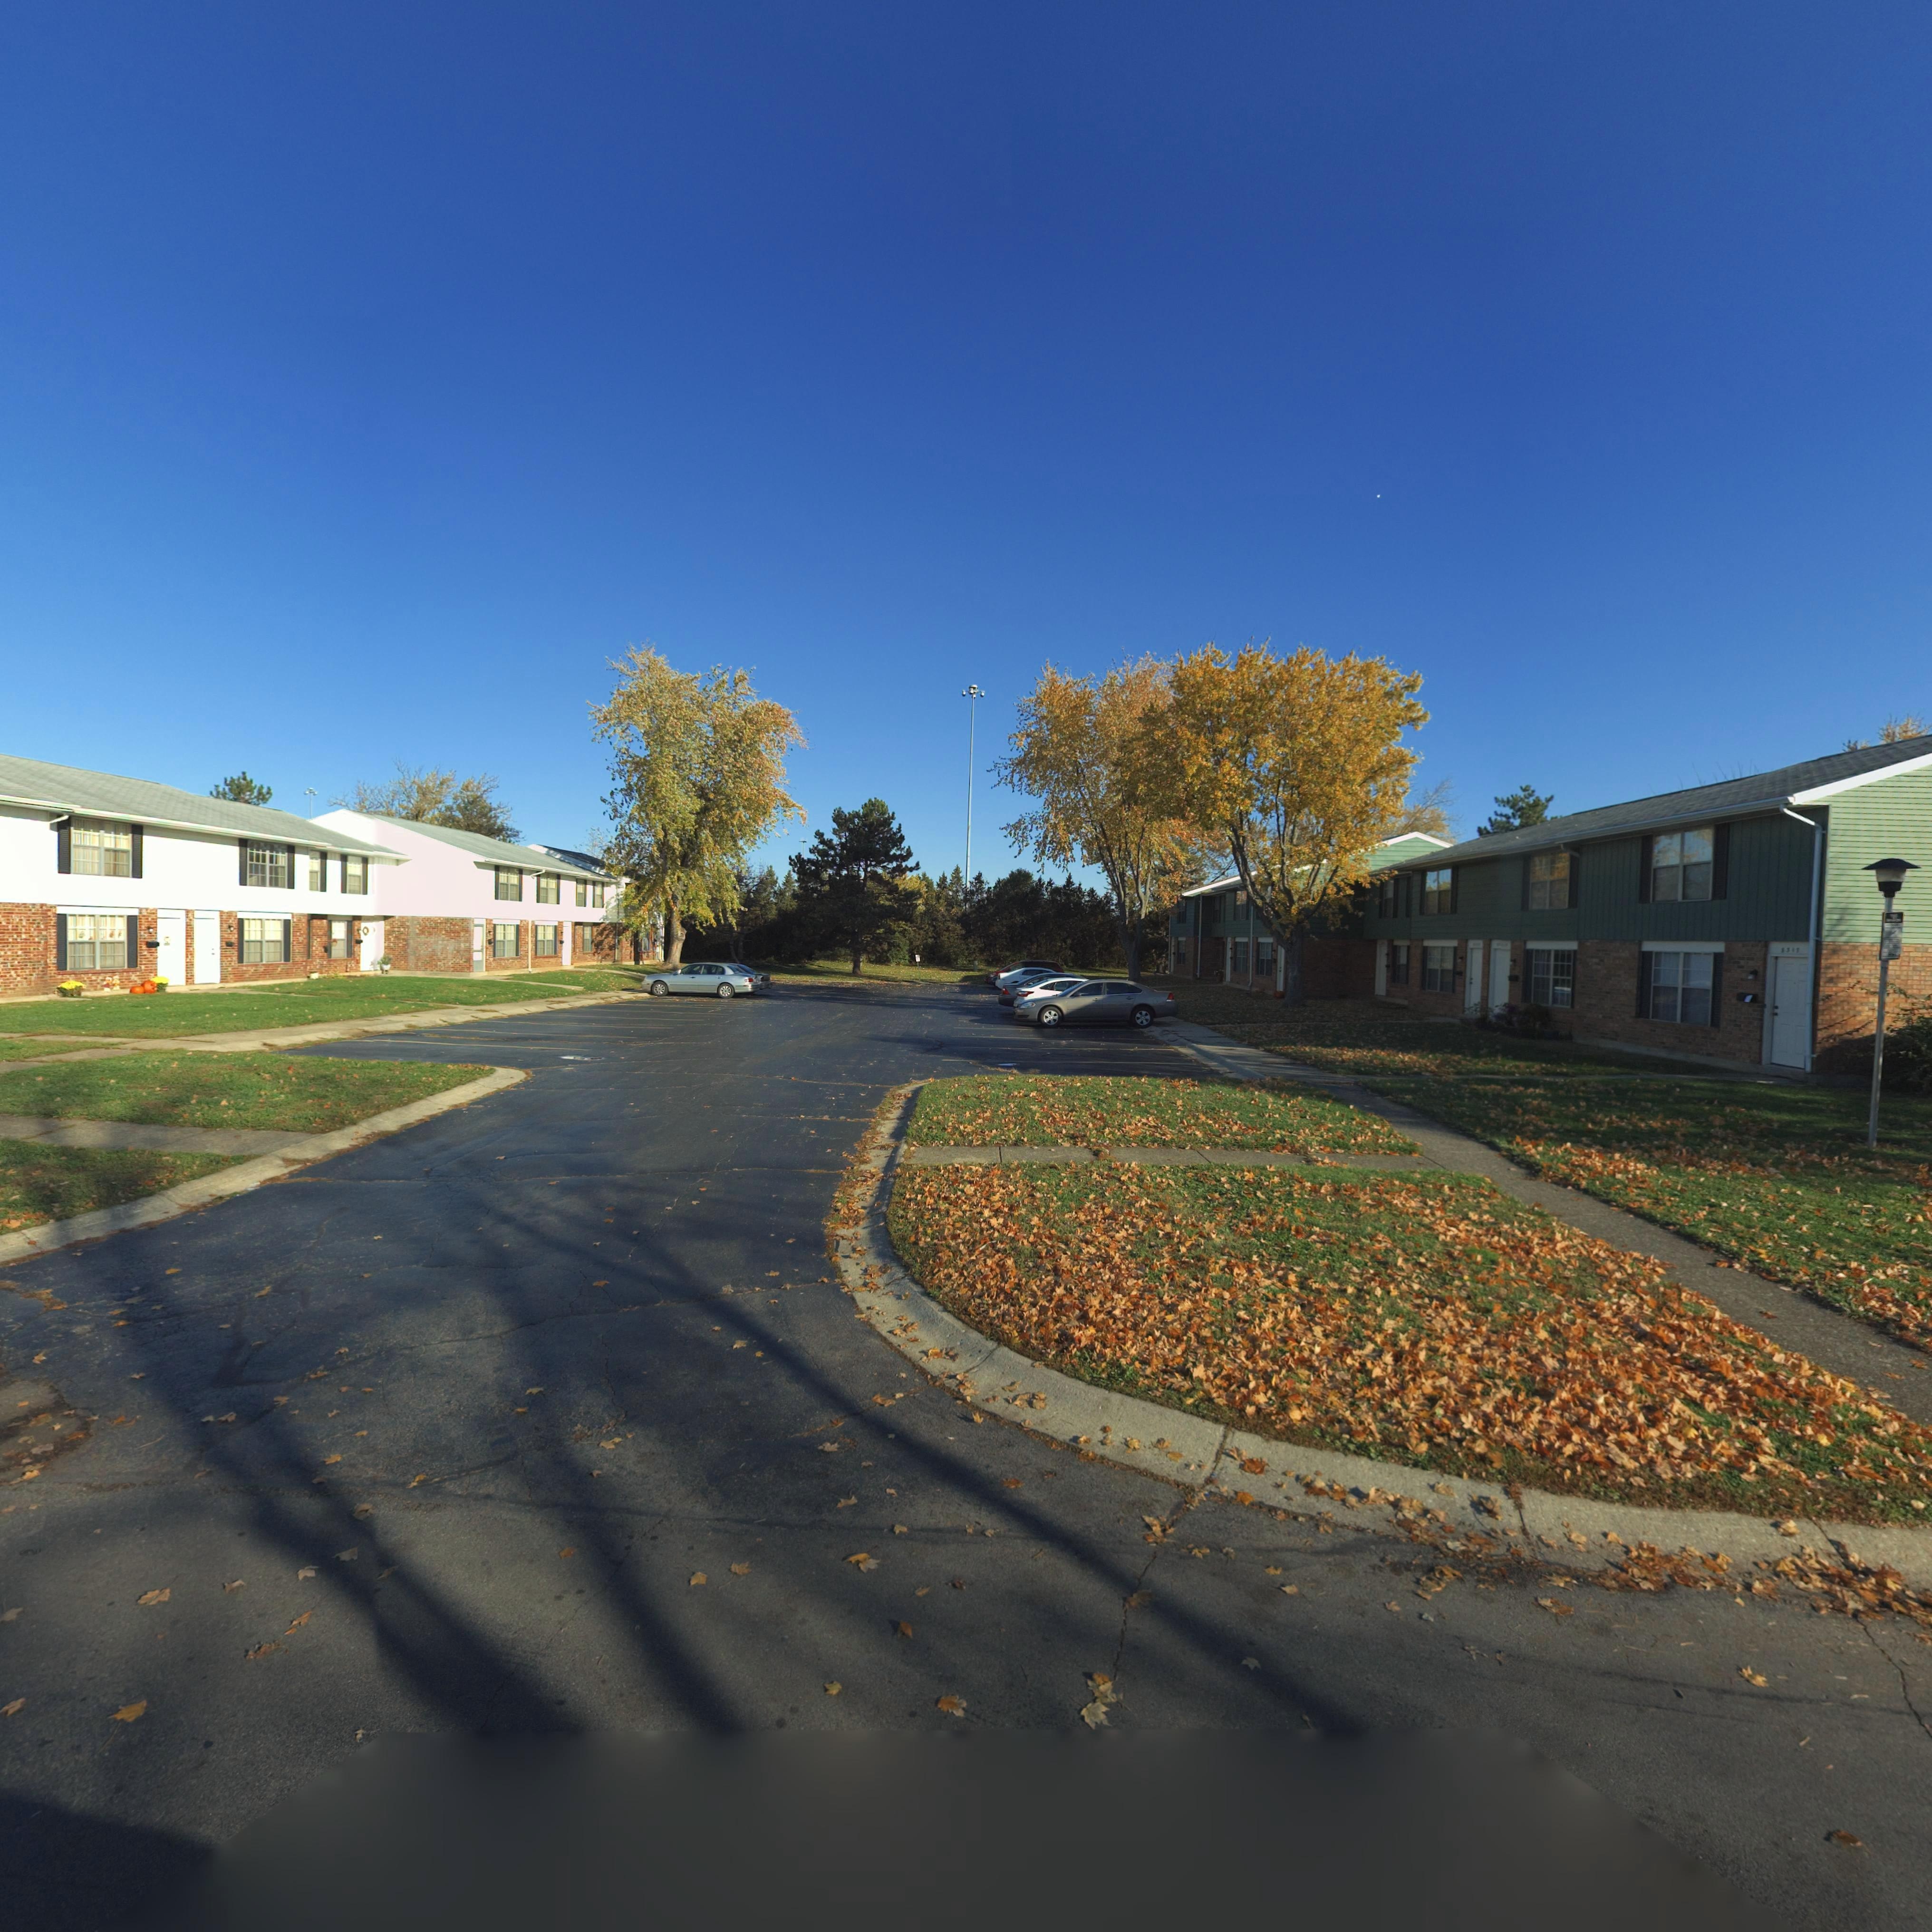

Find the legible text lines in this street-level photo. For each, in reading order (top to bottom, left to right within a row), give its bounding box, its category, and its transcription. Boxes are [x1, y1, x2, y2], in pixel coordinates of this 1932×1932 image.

[1780, 947, 1801, 953] StreetNumber: 8317